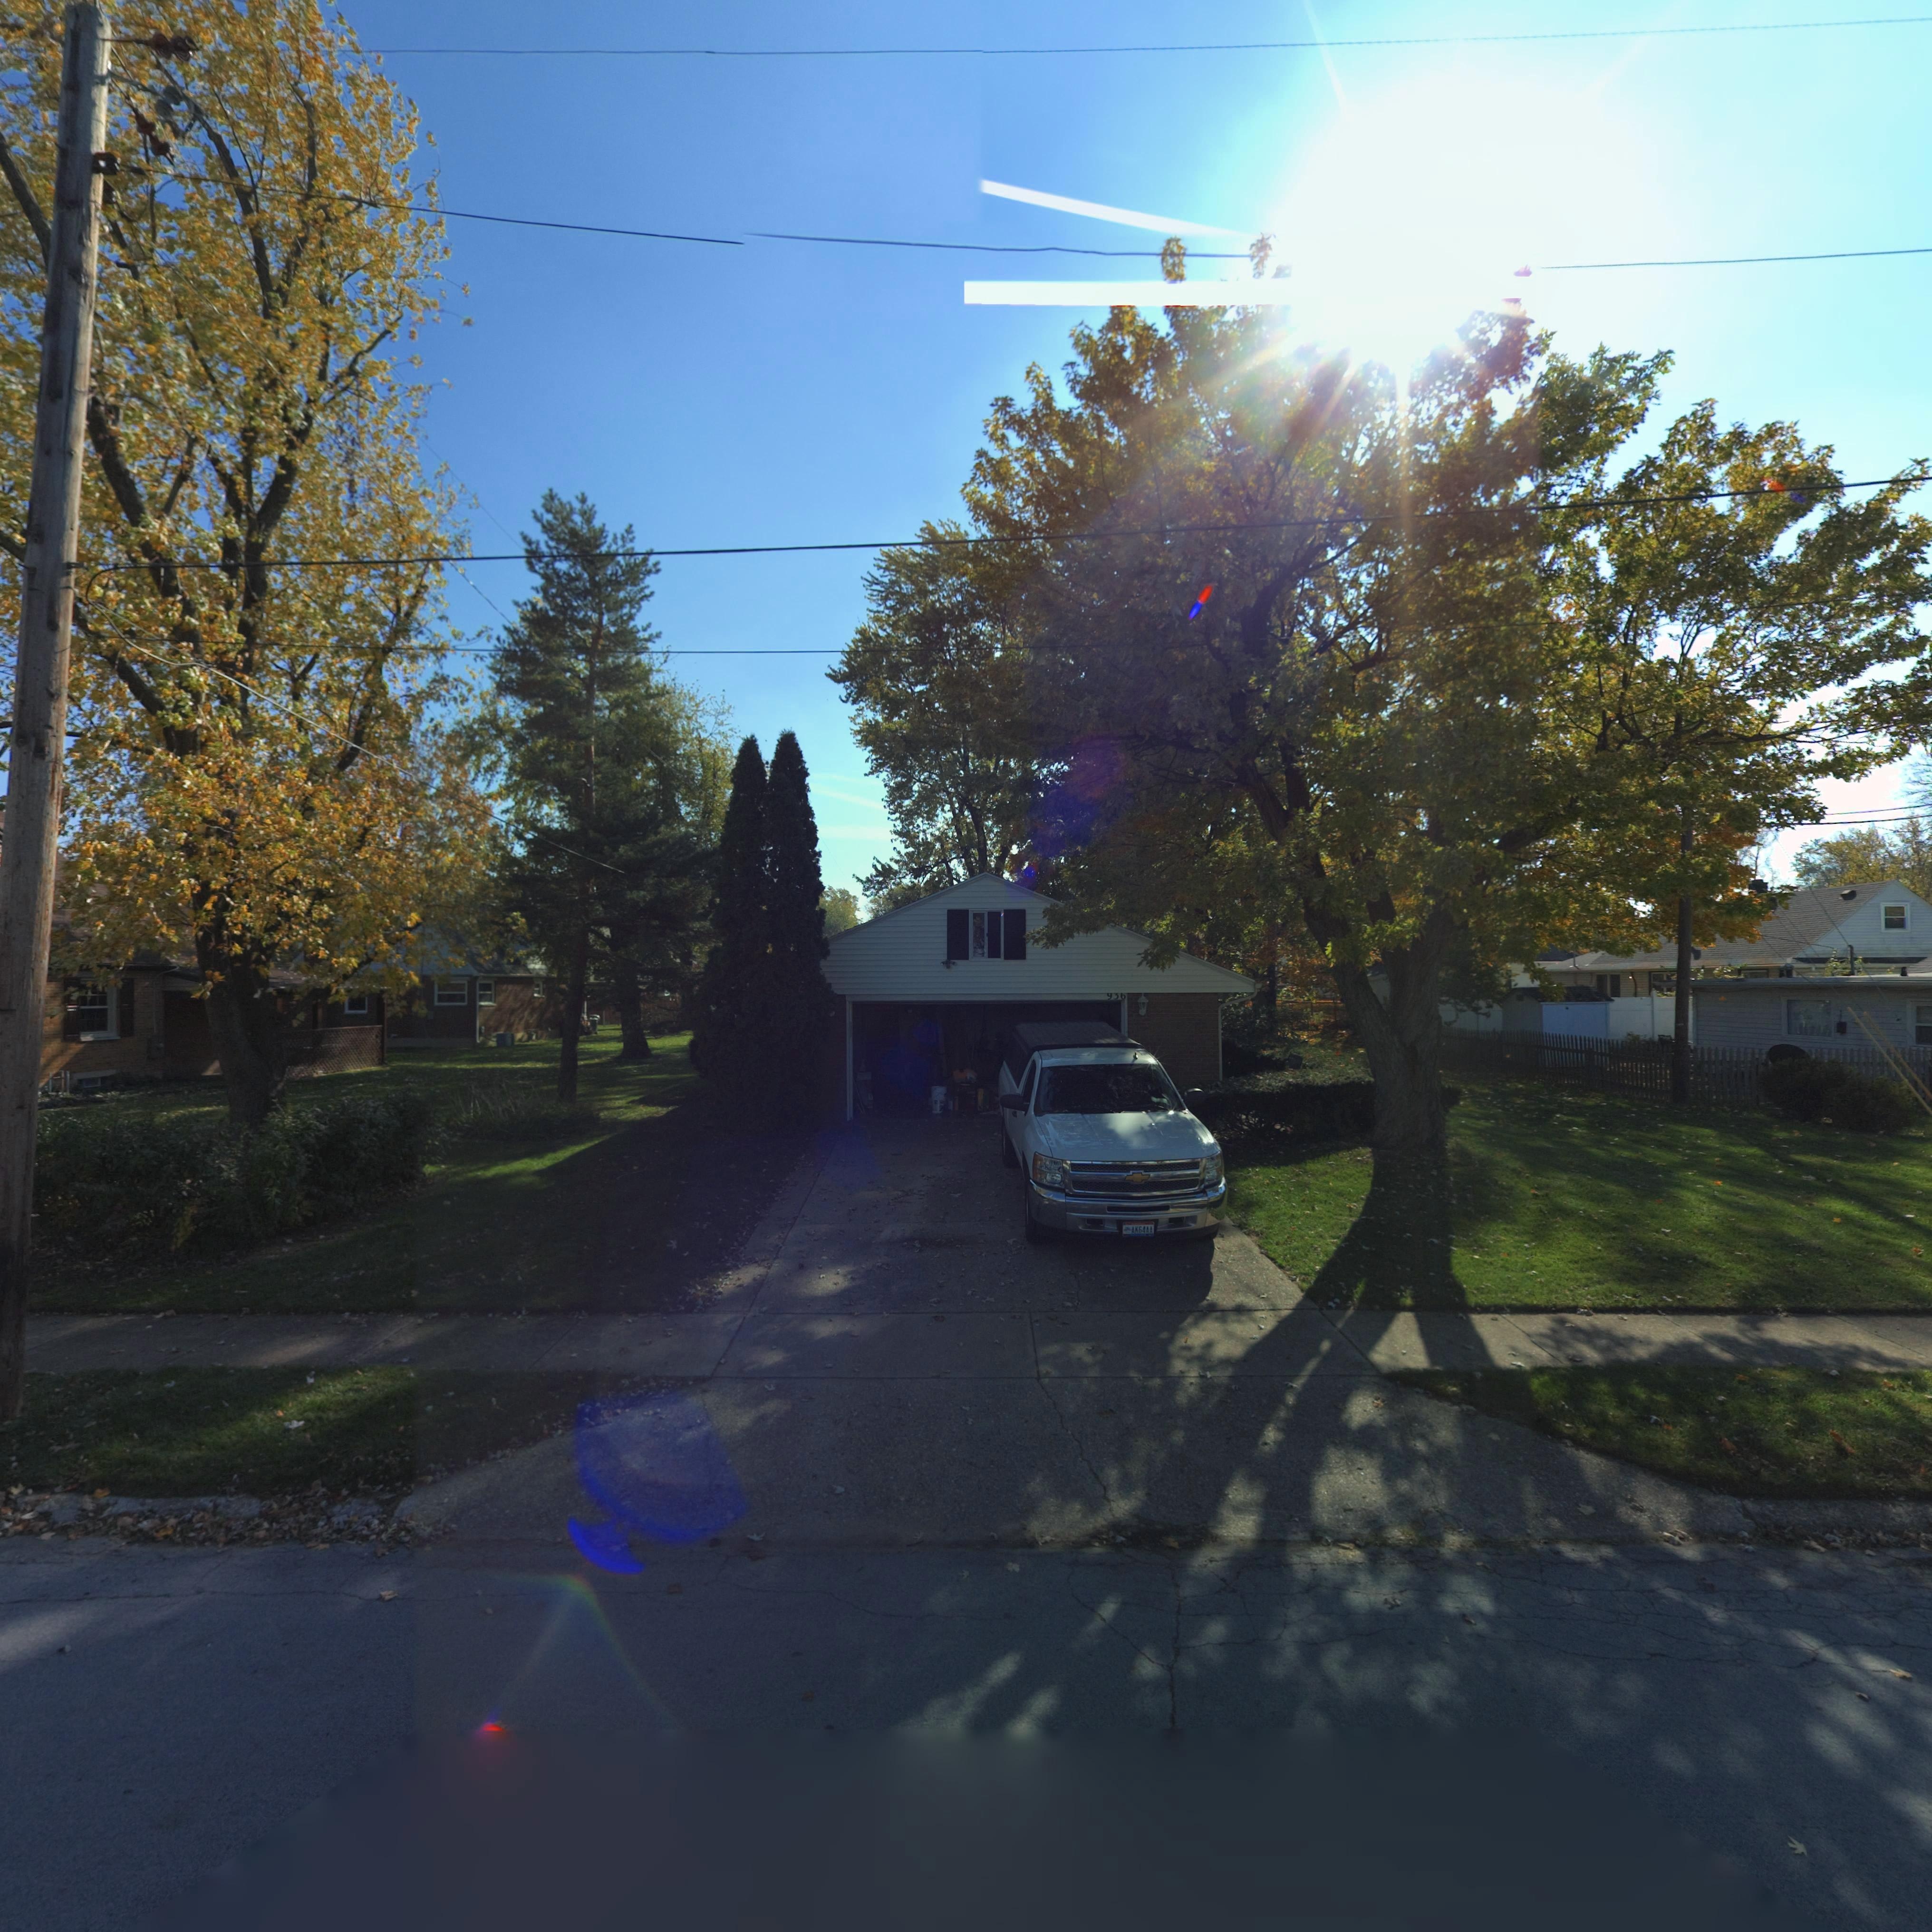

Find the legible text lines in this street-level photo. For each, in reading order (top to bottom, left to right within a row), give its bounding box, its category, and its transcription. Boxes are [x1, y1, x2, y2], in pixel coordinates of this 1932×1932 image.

[1107, 993, 1126, 1000] StreetNumber: 936
[1131, 1226, 1153, 1234] None: AK64AA